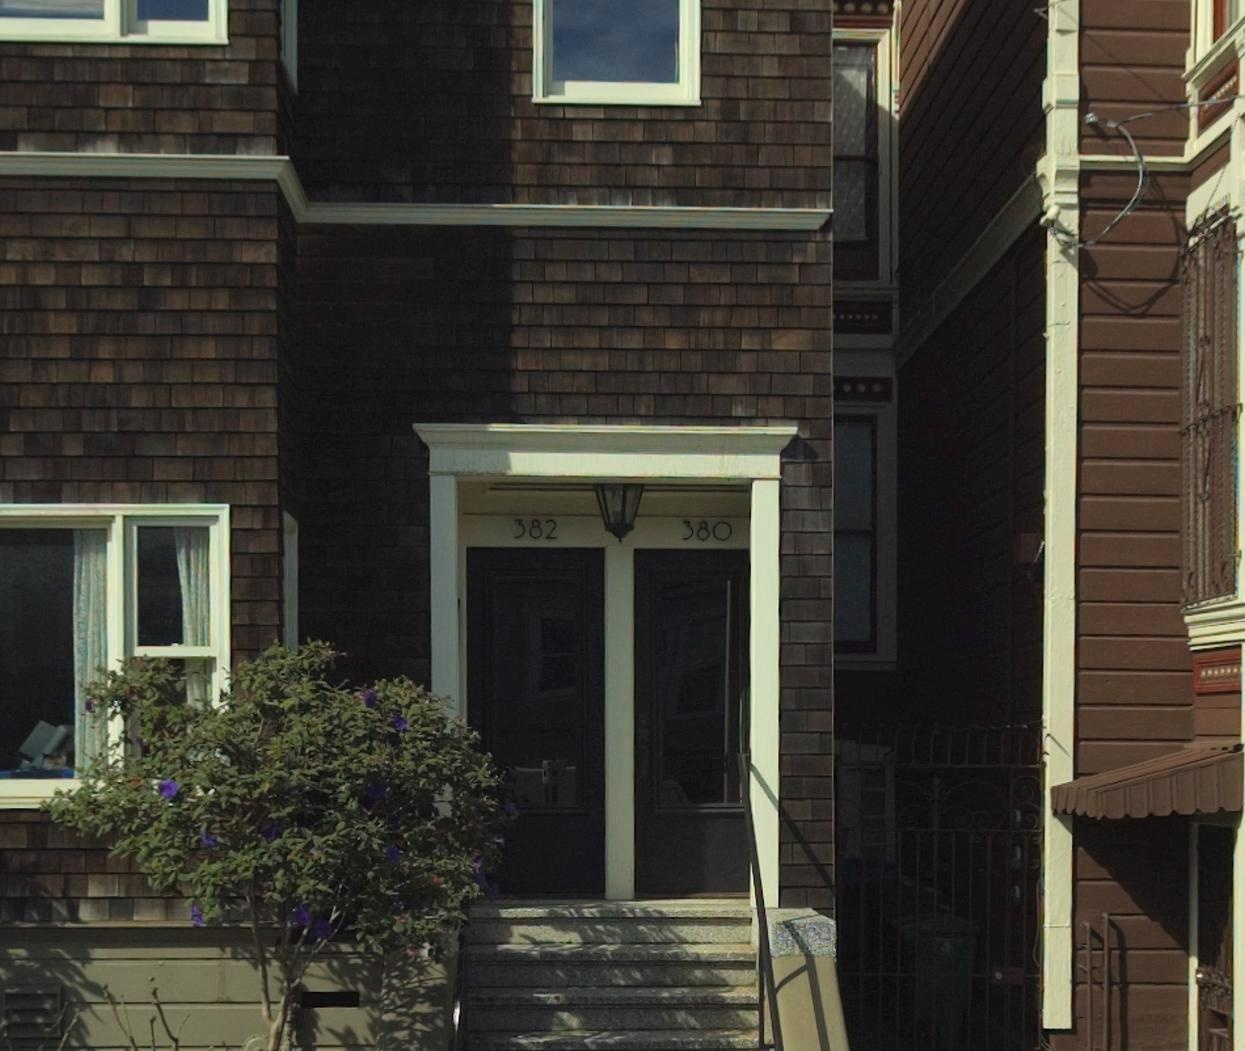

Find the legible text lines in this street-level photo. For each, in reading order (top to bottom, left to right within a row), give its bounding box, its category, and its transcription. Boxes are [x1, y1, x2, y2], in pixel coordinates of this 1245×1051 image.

[513, 518, 558, 541] StreetNumber: 382
[682, 519, 733, 542] StreetNumber: 380